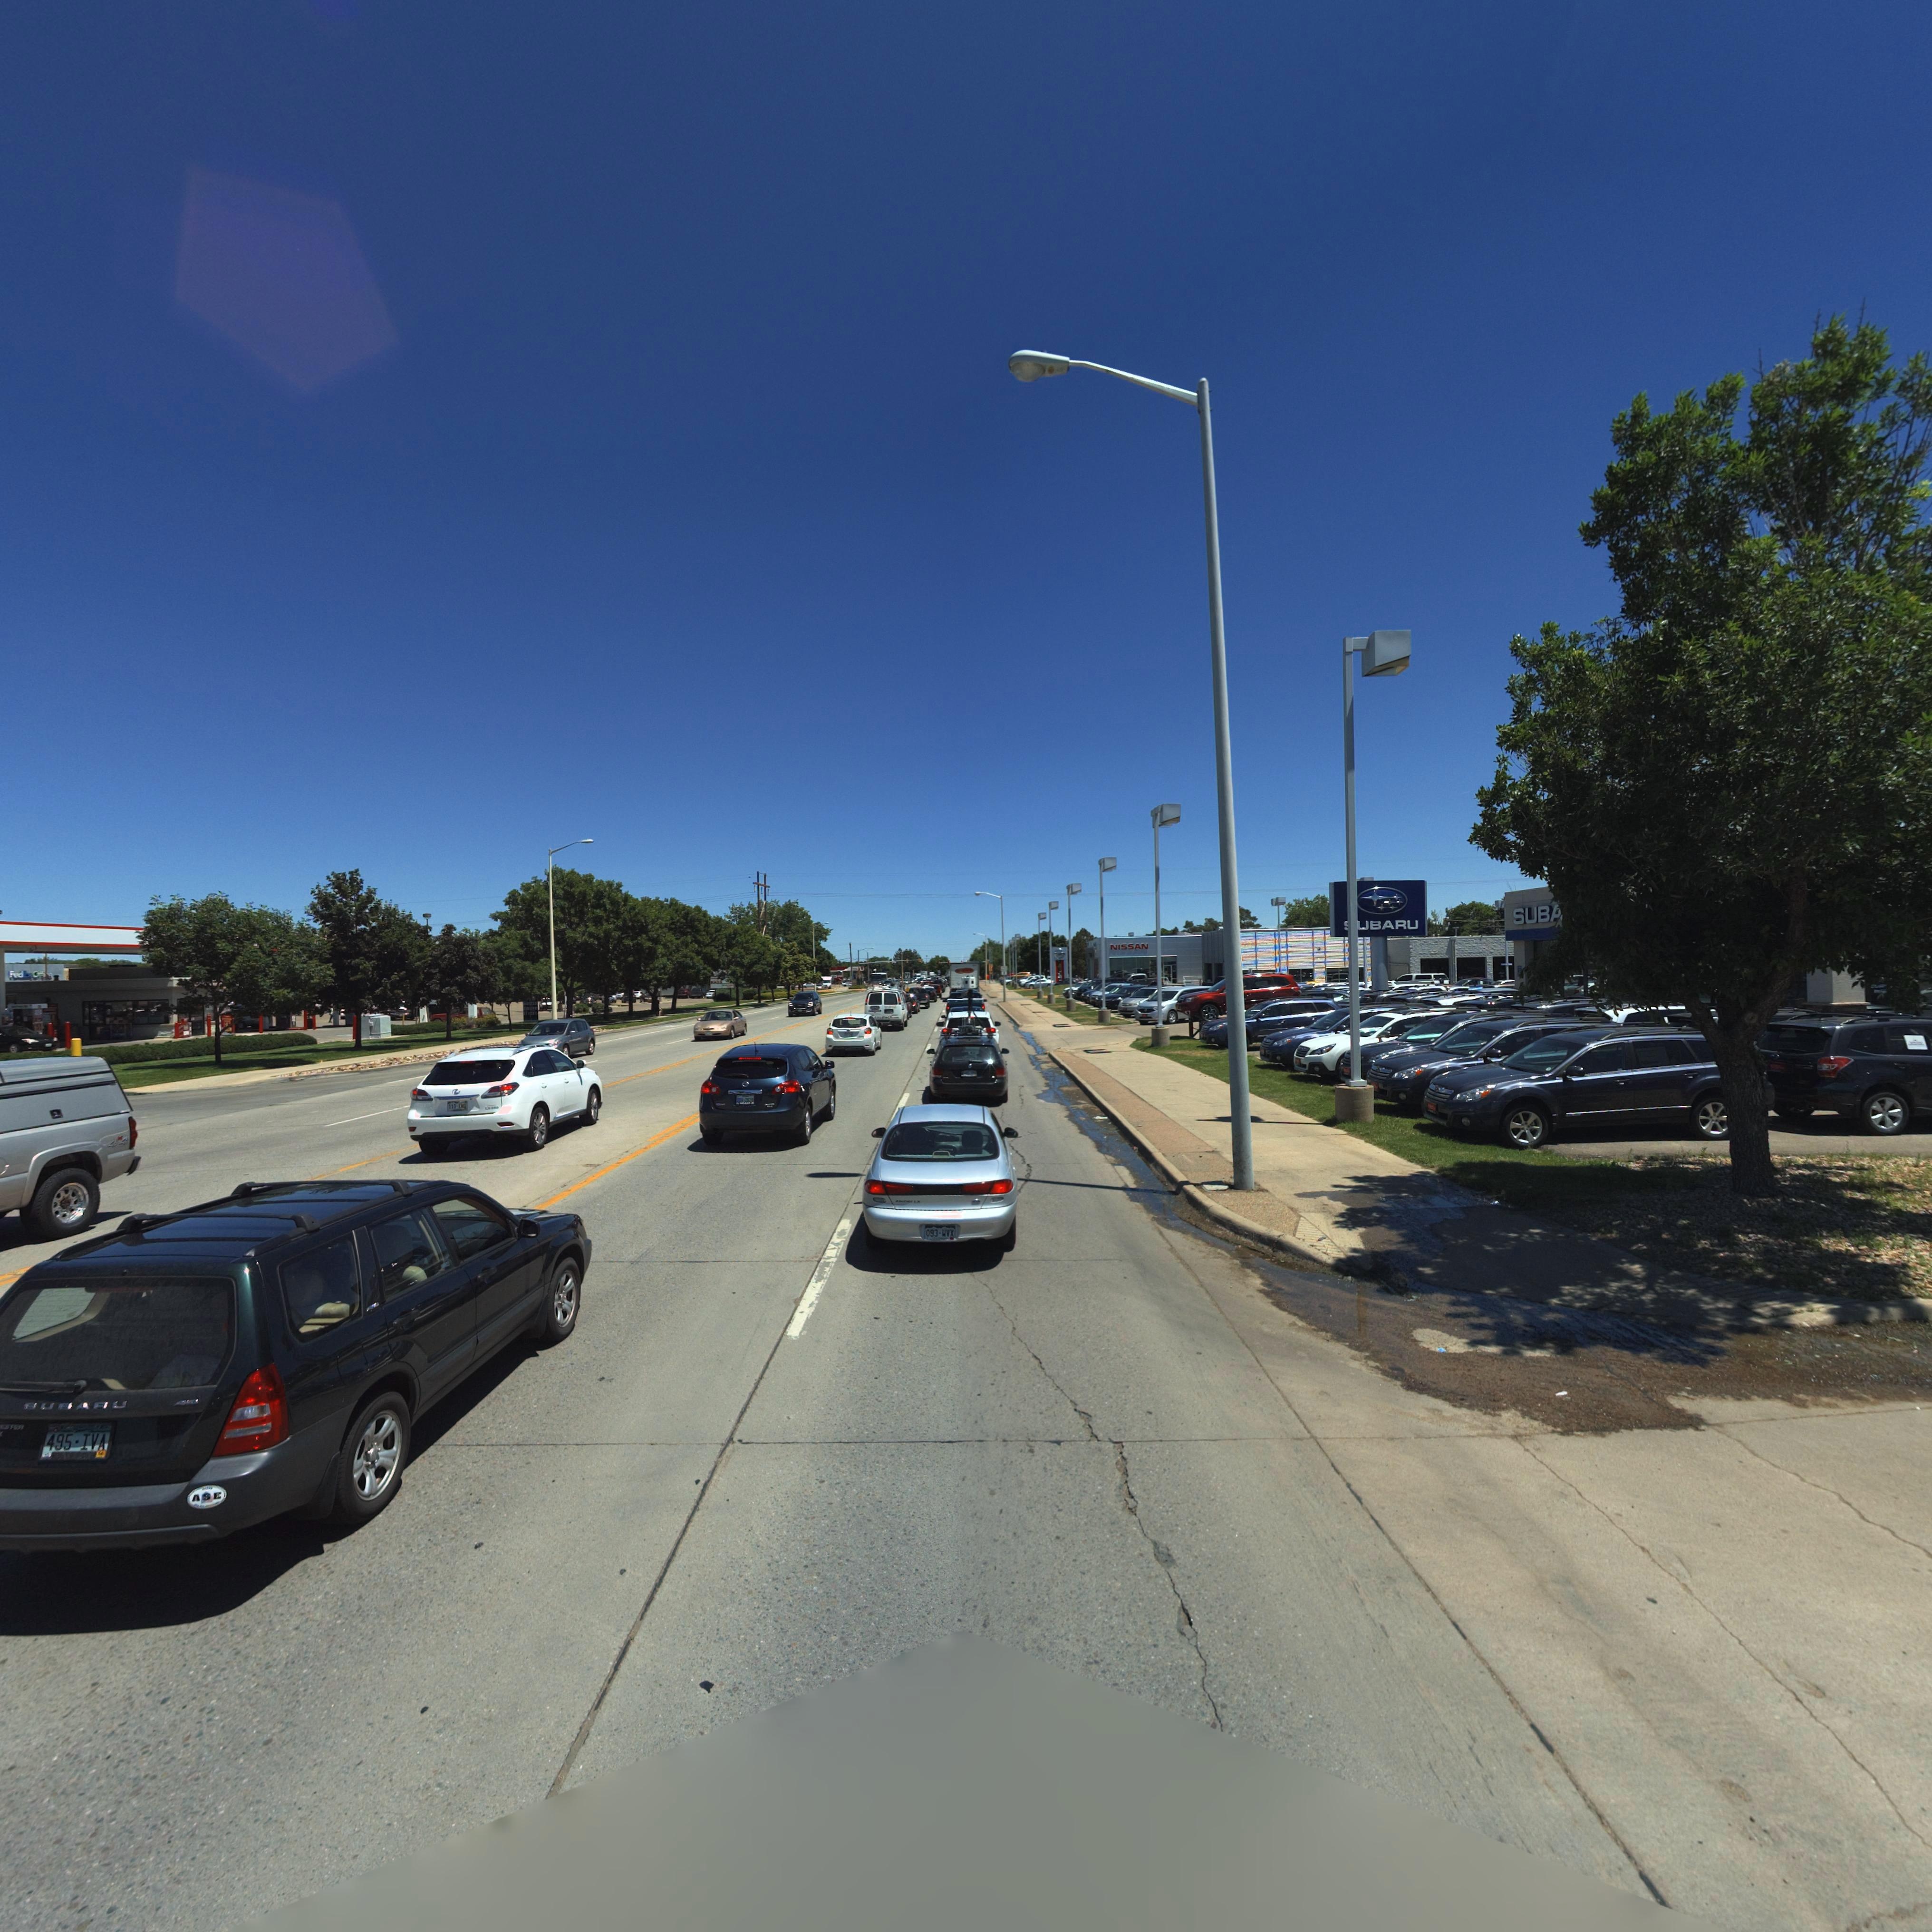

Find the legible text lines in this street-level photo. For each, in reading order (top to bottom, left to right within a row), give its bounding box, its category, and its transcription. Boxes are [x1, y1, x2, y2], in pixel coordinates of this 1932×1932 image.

[1512, 903, 1565, 925] BusinessName: SUBA
[1343, 919, 1419, 931] BusinessName: *UBARU
[1110, 943, 1149, 950] BusinessName: NISSAN
[9, 970, 52, 978] BusinessName: Fed*xO*****